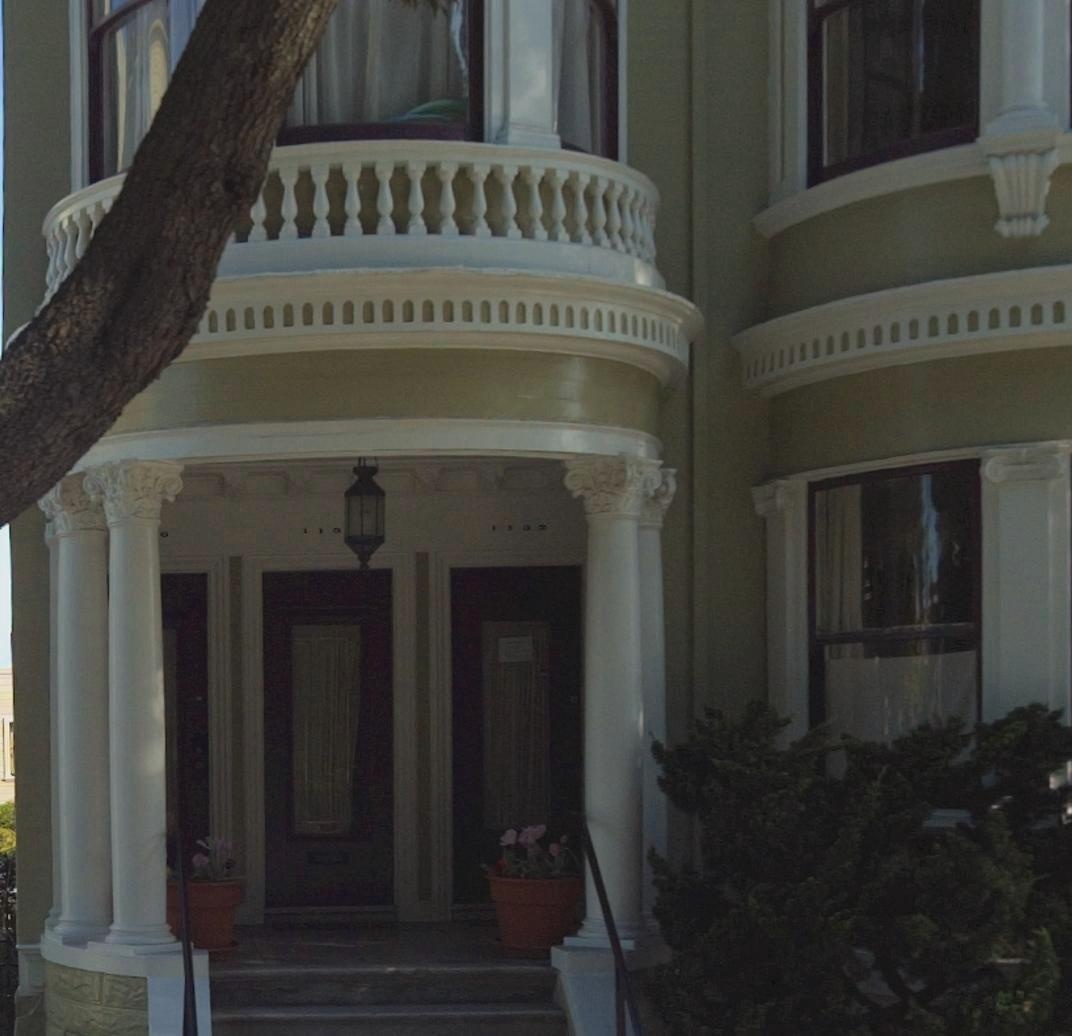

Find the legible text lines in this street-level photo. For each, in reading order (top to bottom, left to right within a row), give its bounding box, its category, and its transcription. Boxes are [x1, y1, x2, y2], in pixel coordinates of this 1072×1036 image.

[299, 525, 342, 534] StreetNumber: 113
[490, 520, 550, 534] StreetNumber: 1132